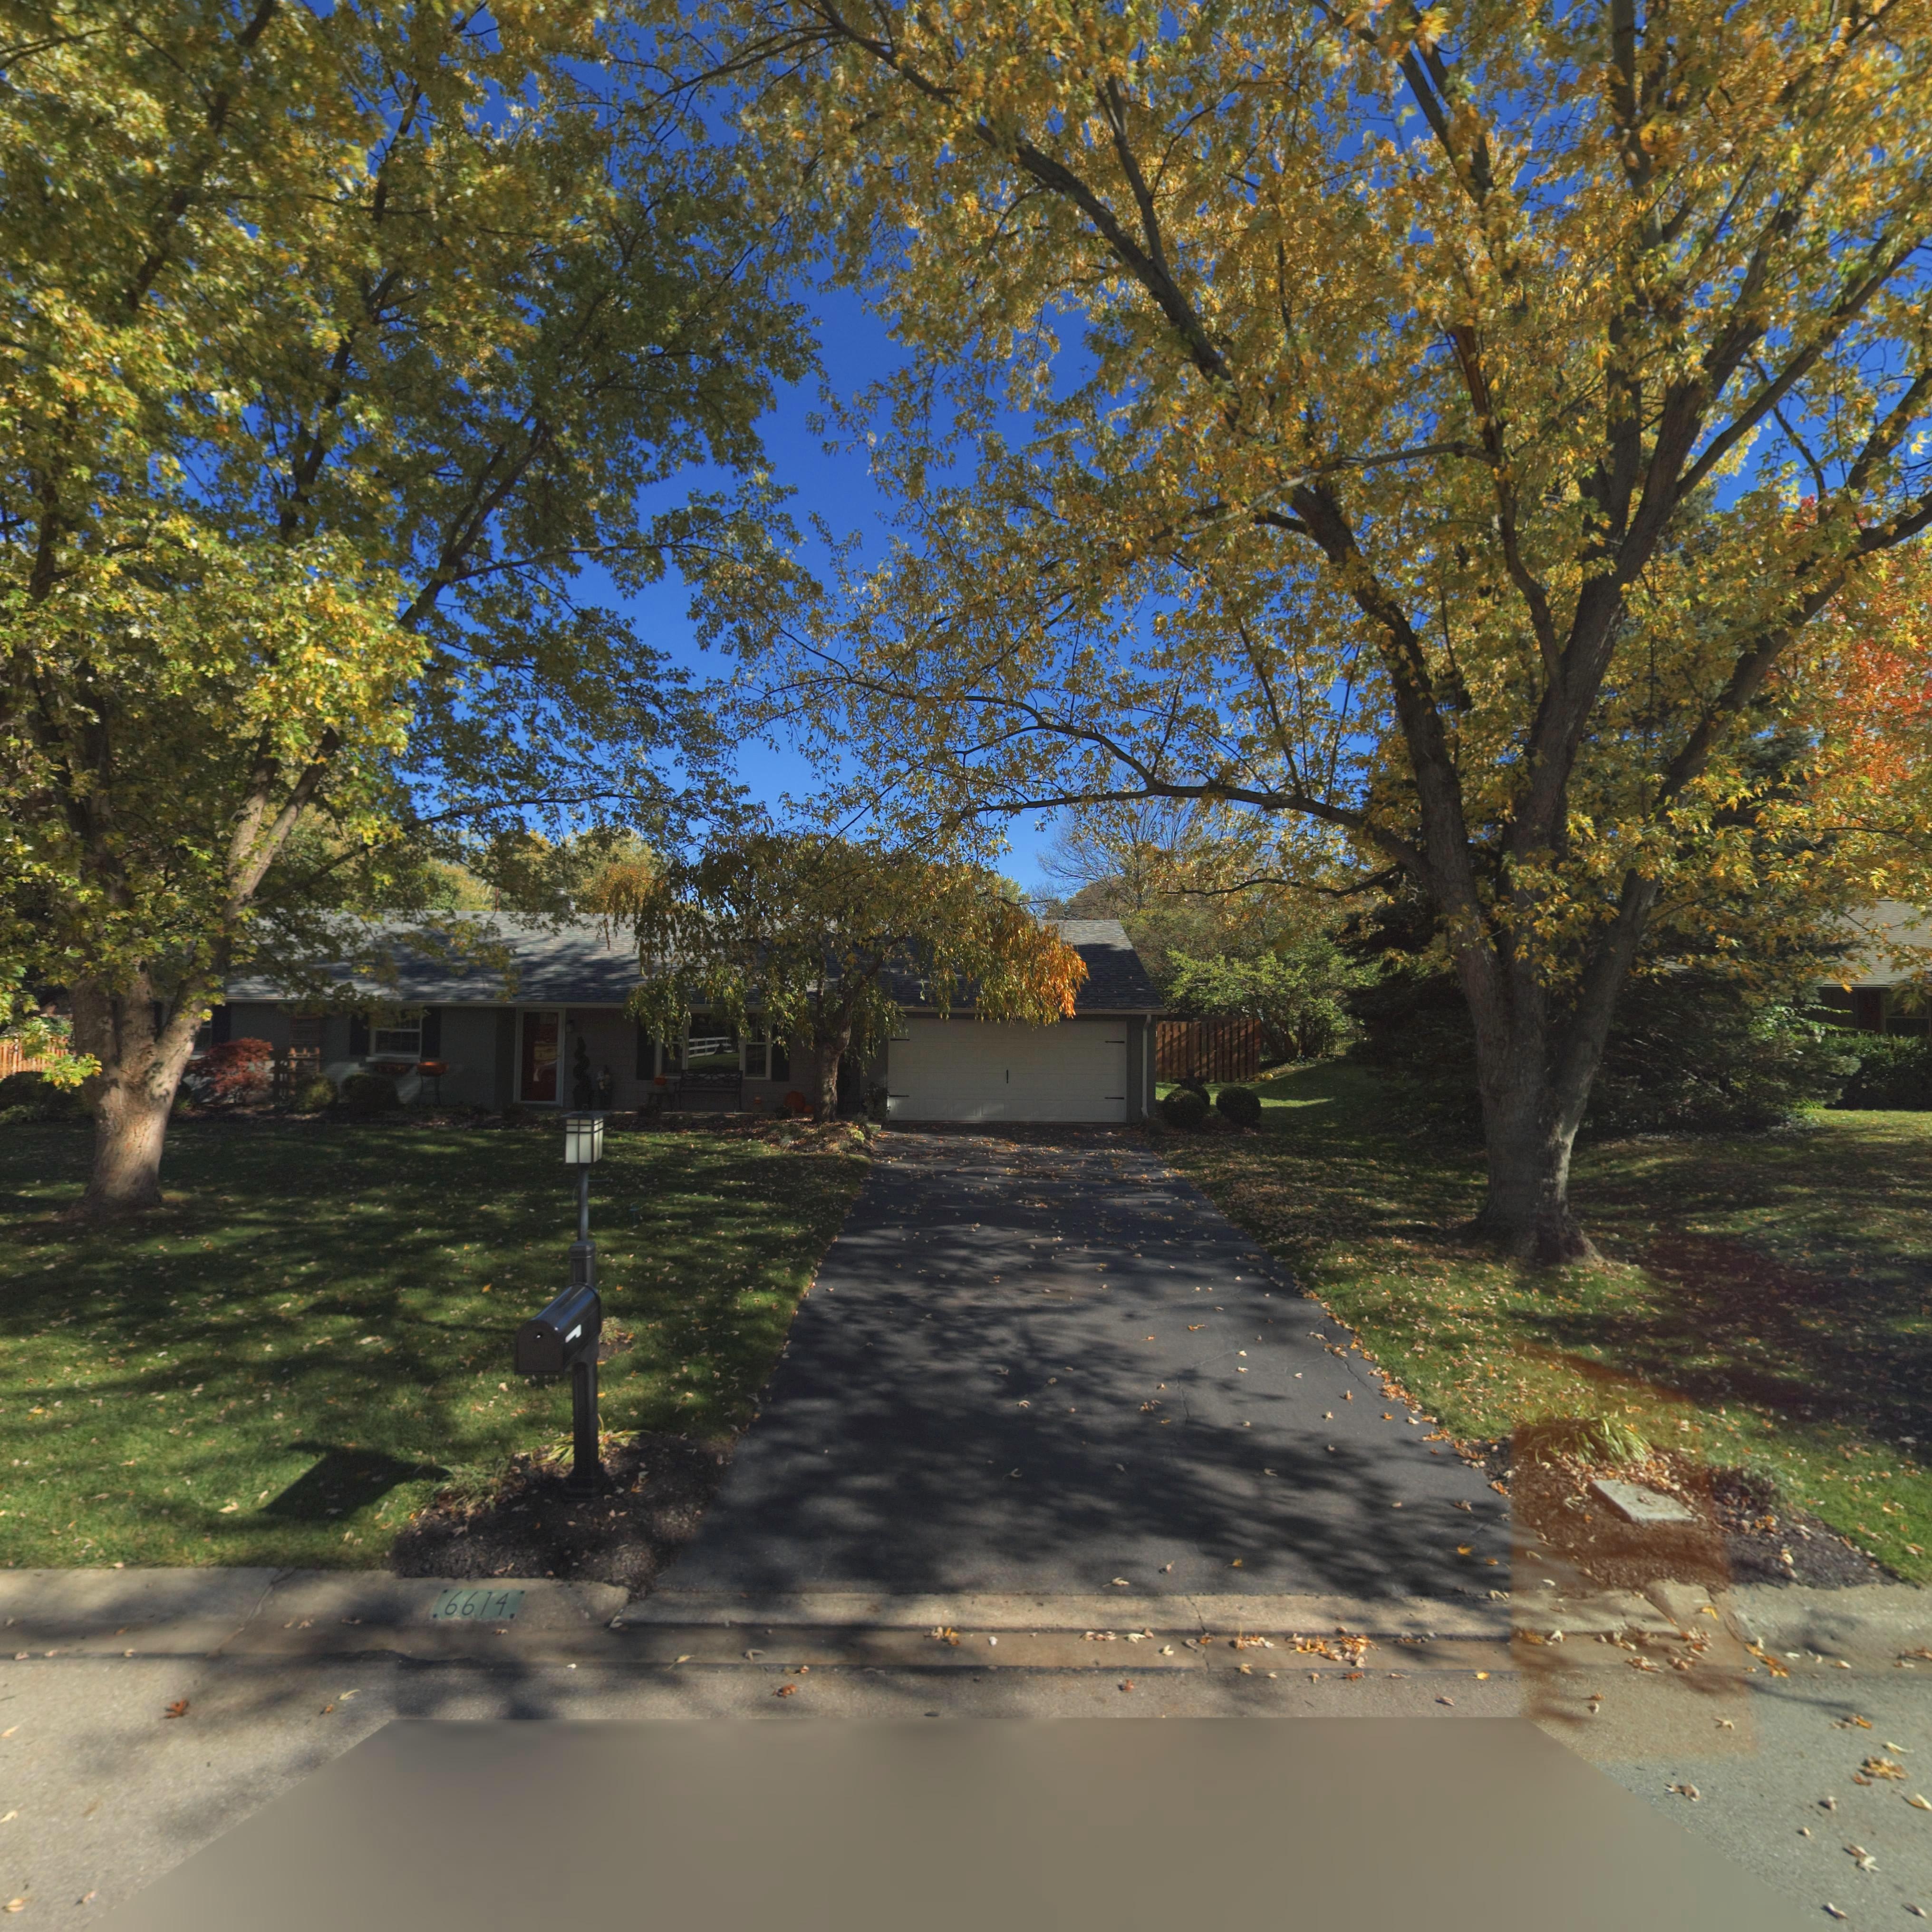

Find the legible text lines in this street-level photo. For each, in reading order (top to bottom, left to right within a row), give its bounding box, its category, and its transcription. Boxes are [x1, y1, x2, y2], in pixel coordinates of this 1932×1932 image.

[444, 1589, 511, 1617] StreetNumber: 6614